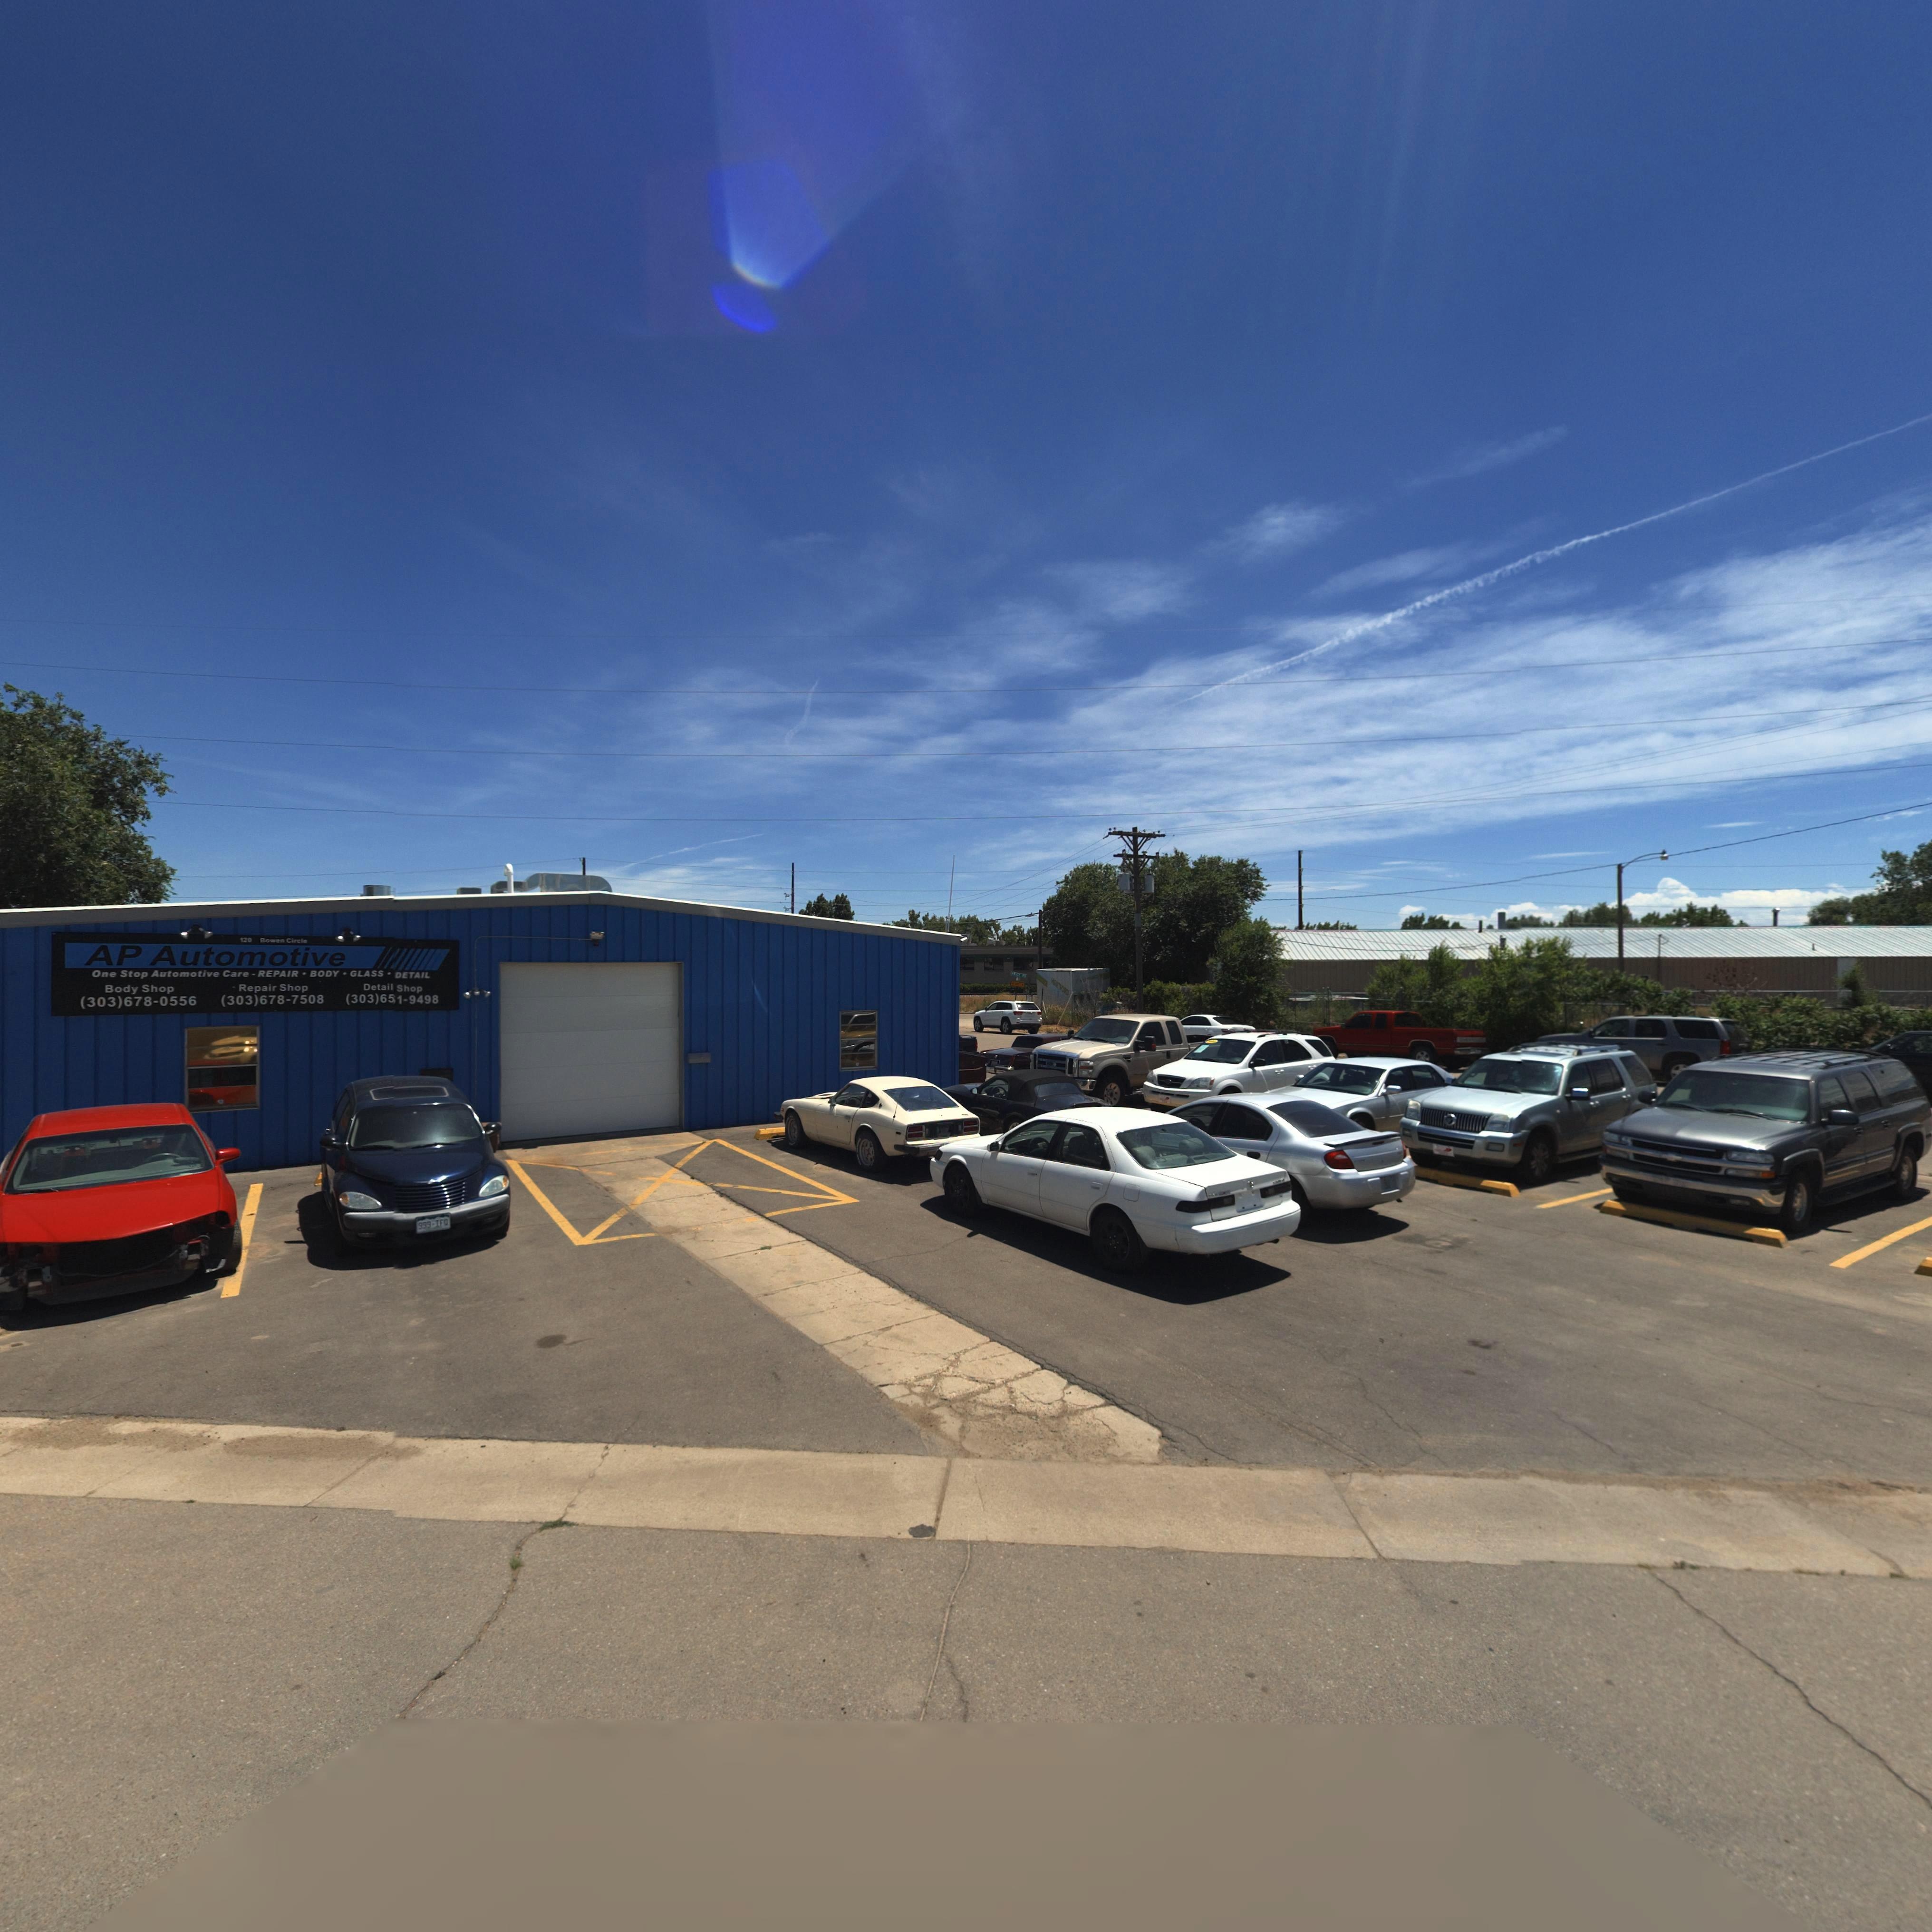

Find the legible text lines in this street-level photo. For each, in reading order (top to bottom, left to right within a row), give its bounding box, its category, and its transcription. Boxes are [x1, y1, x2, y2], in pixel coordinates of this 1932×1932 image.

[239, 937, 252, 943] StreetNumber: 120
[259, 937, 307, 943] StreetName: Bowen Circle
[1011, 972, 1026, 977] StreetName: PRICE **